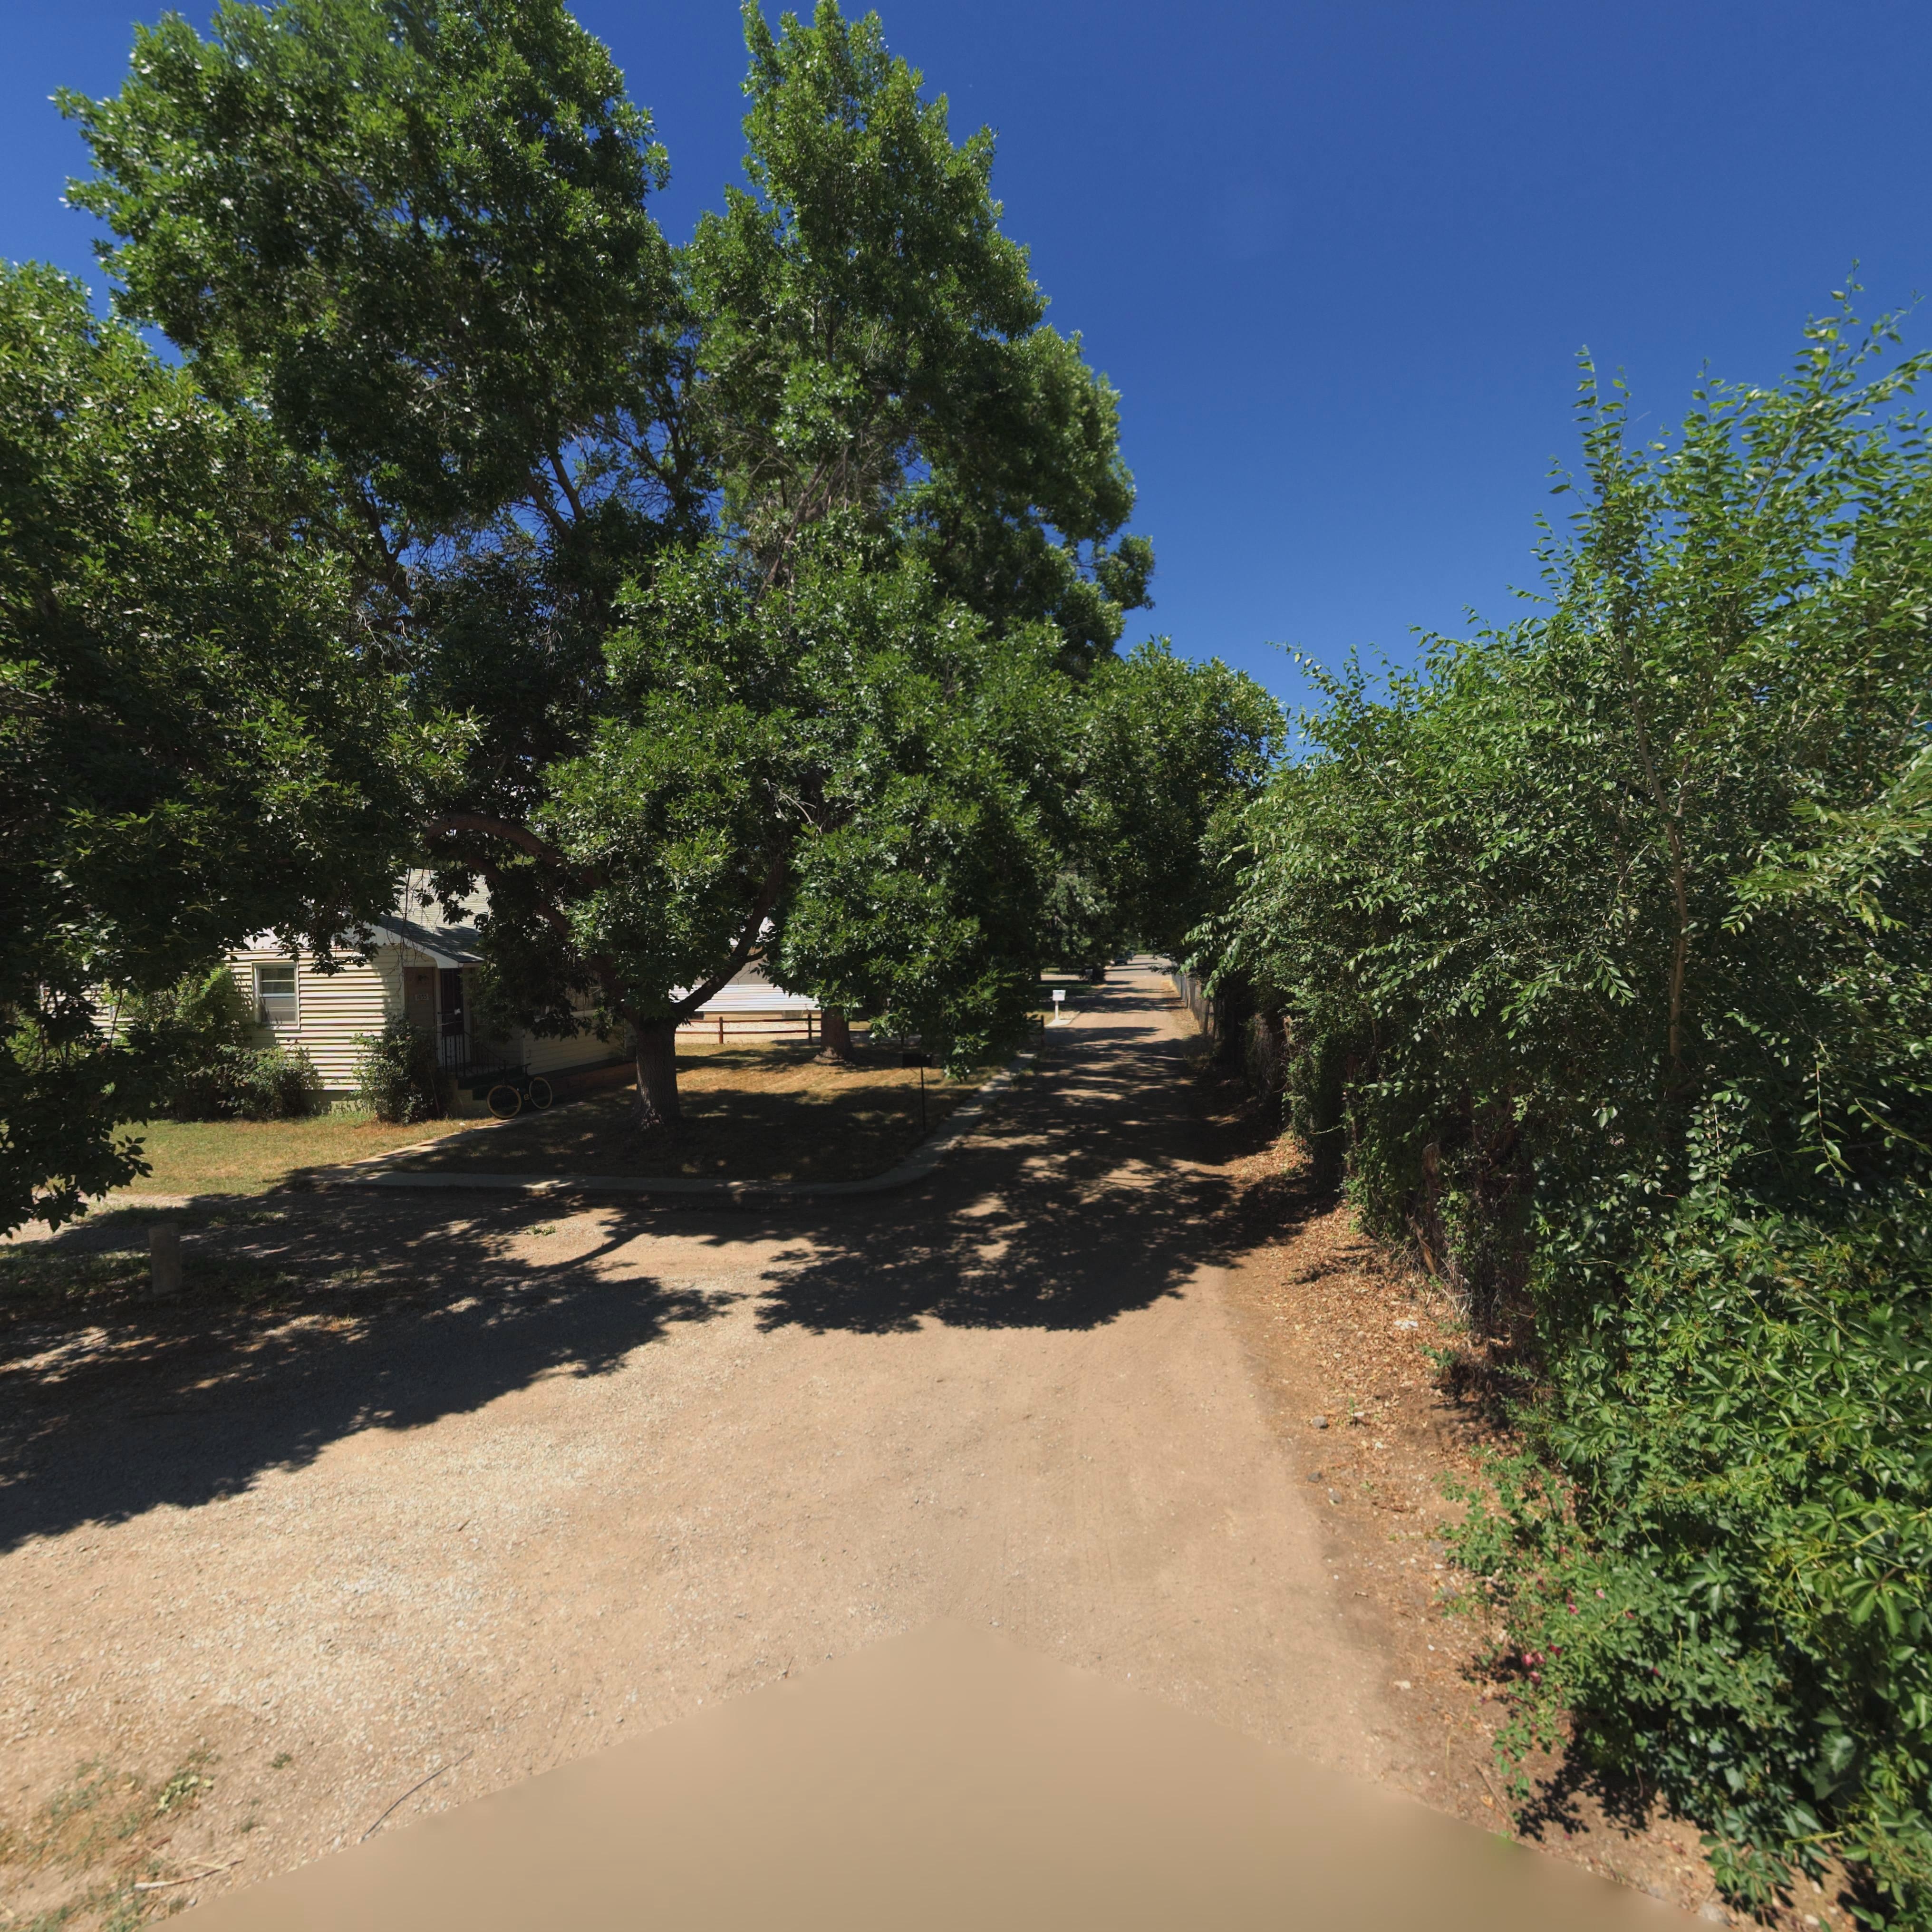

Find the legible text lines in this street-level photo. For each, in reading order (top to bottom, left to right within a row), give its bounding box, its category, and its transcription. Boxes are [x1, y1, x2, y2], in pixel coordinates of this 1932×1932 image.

[416, 994, 427, 1000] StreetNumber: 1035